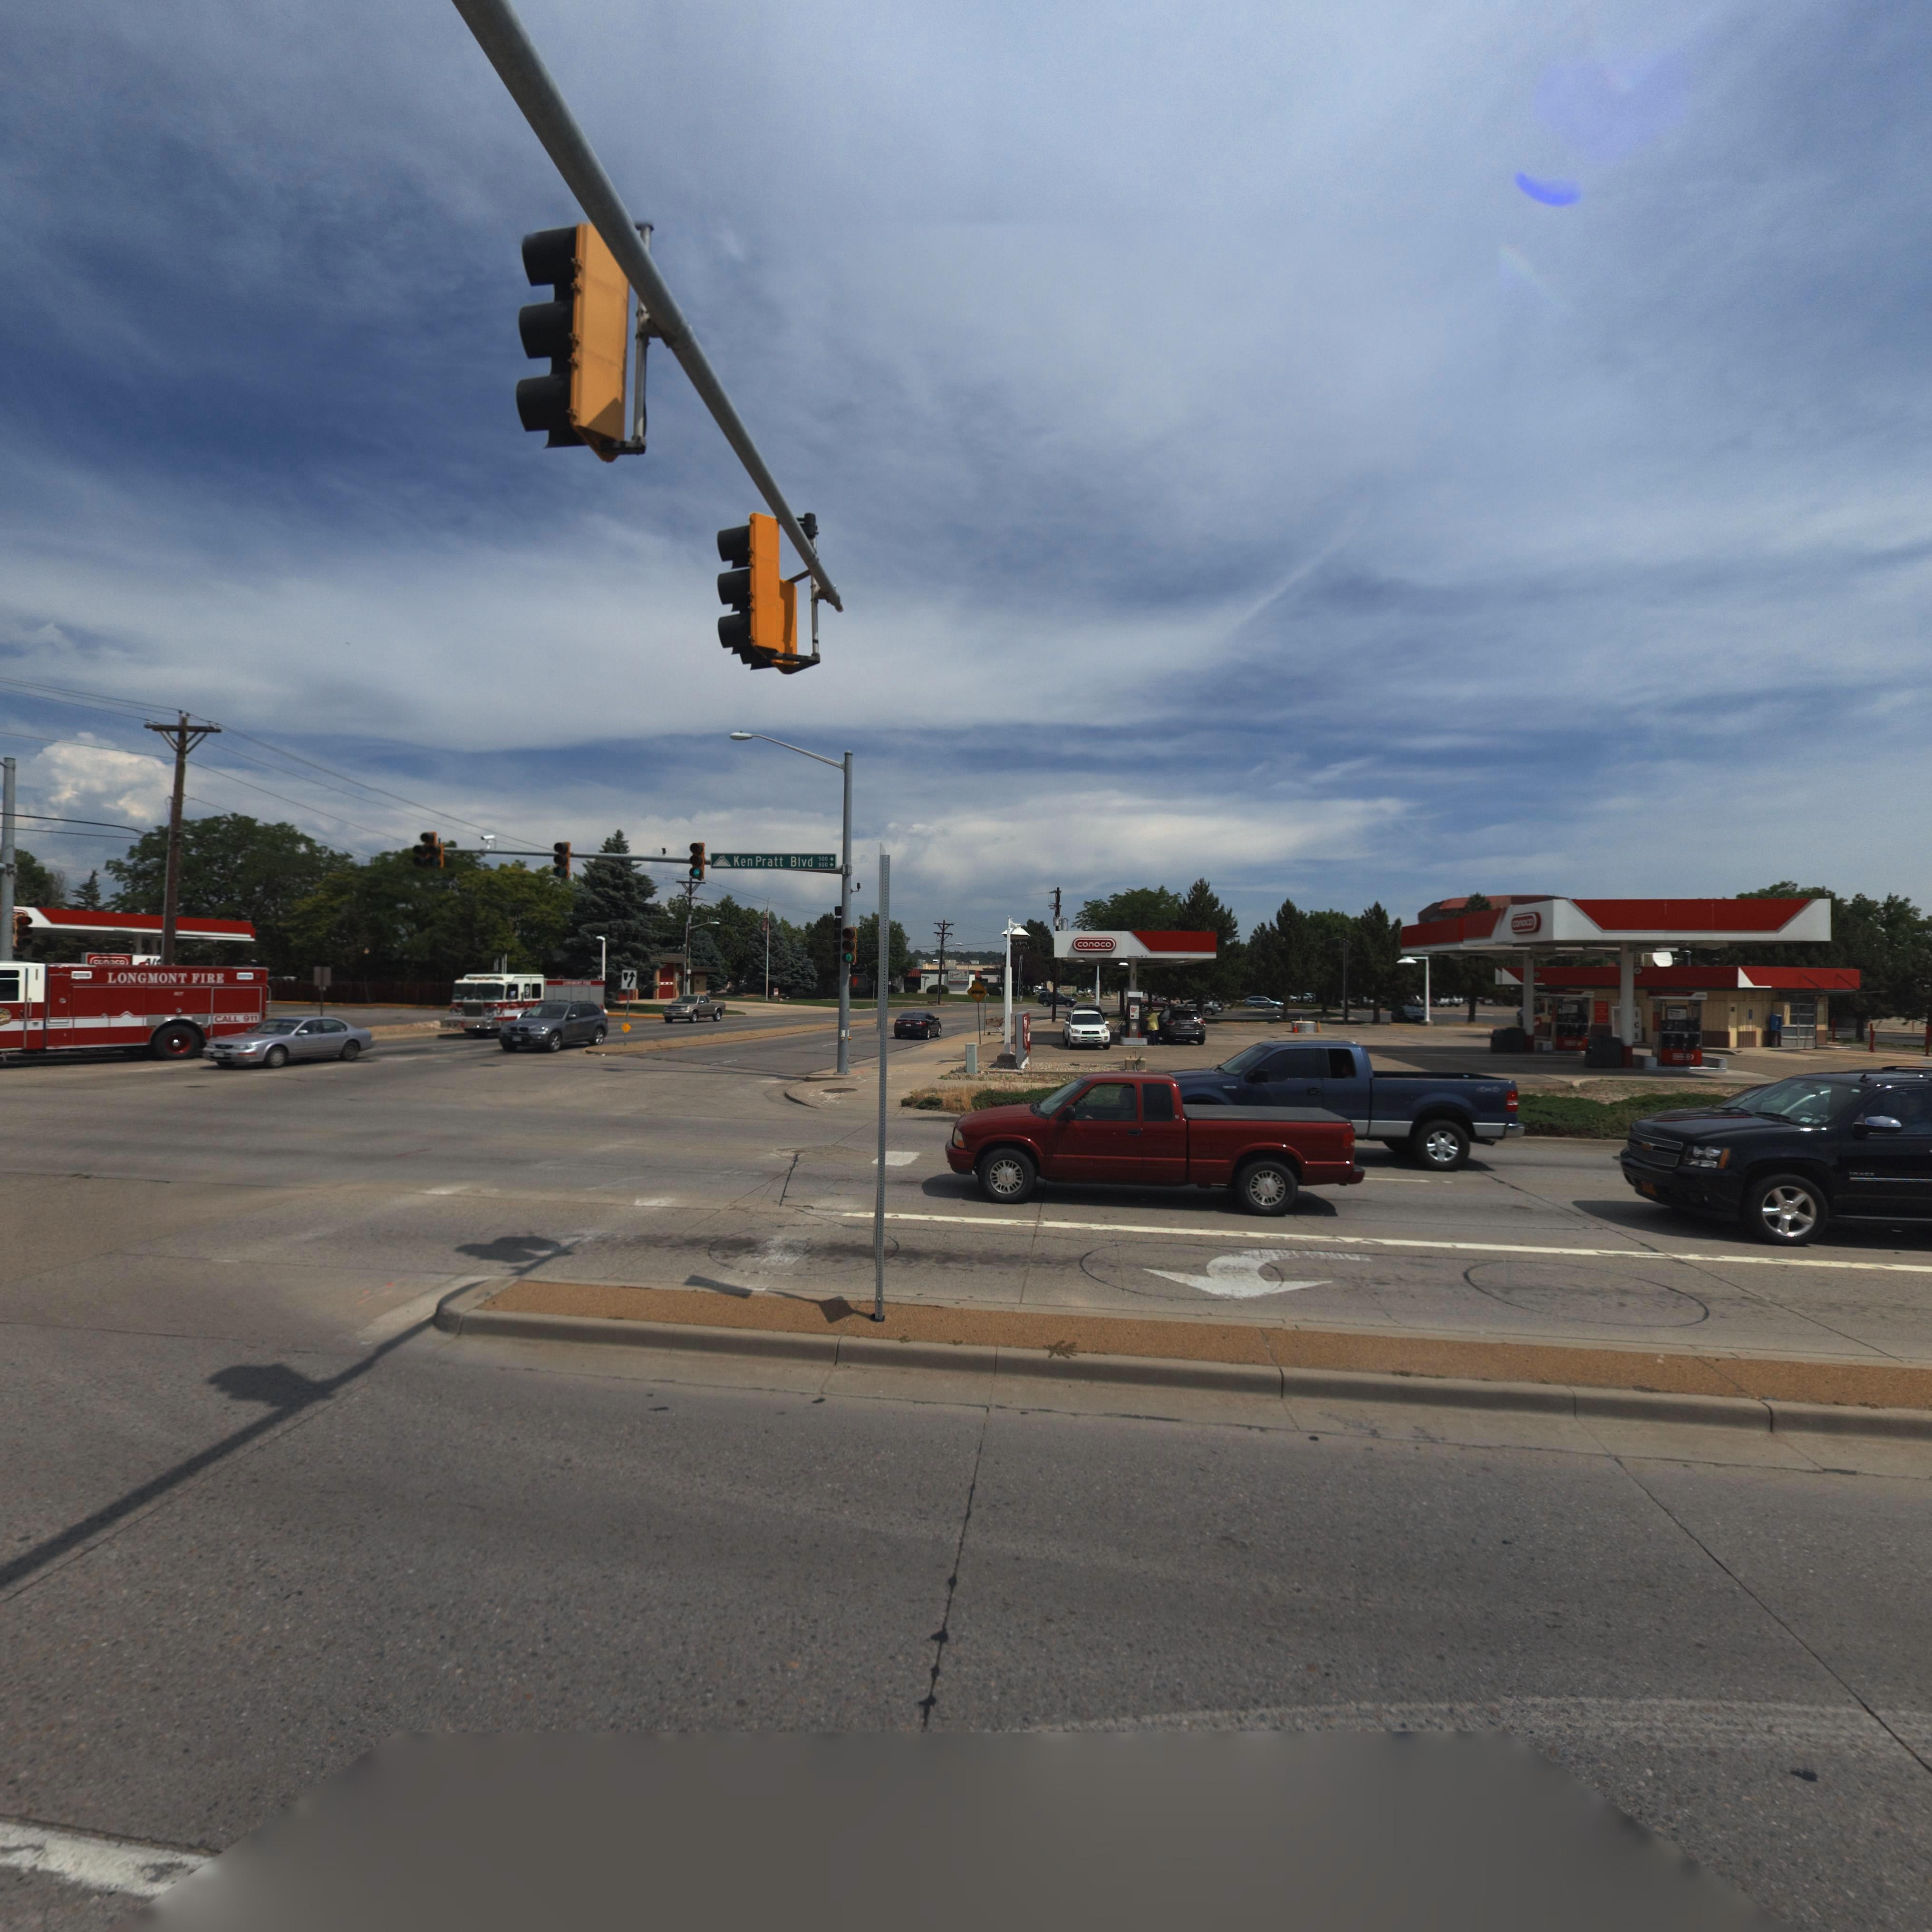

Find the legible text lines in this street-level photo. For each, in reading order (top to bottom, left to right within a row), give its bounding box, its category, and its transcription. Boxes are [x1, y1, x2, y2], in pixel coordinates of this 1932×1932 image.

[733, 855, 813, 867] StreetName: Ken Pratt Blvd
[818, 856, 828, 861] StreetNumberRange: 500
[818, 861, 834, 867] StreetNumberRange: 800->
[1511, 918, 1534, 928] BusinessName: conoco
[1077, 941, 1112, 948] BusinessName: conoco
[92, 957, 126, 964] BusinessName: conoco